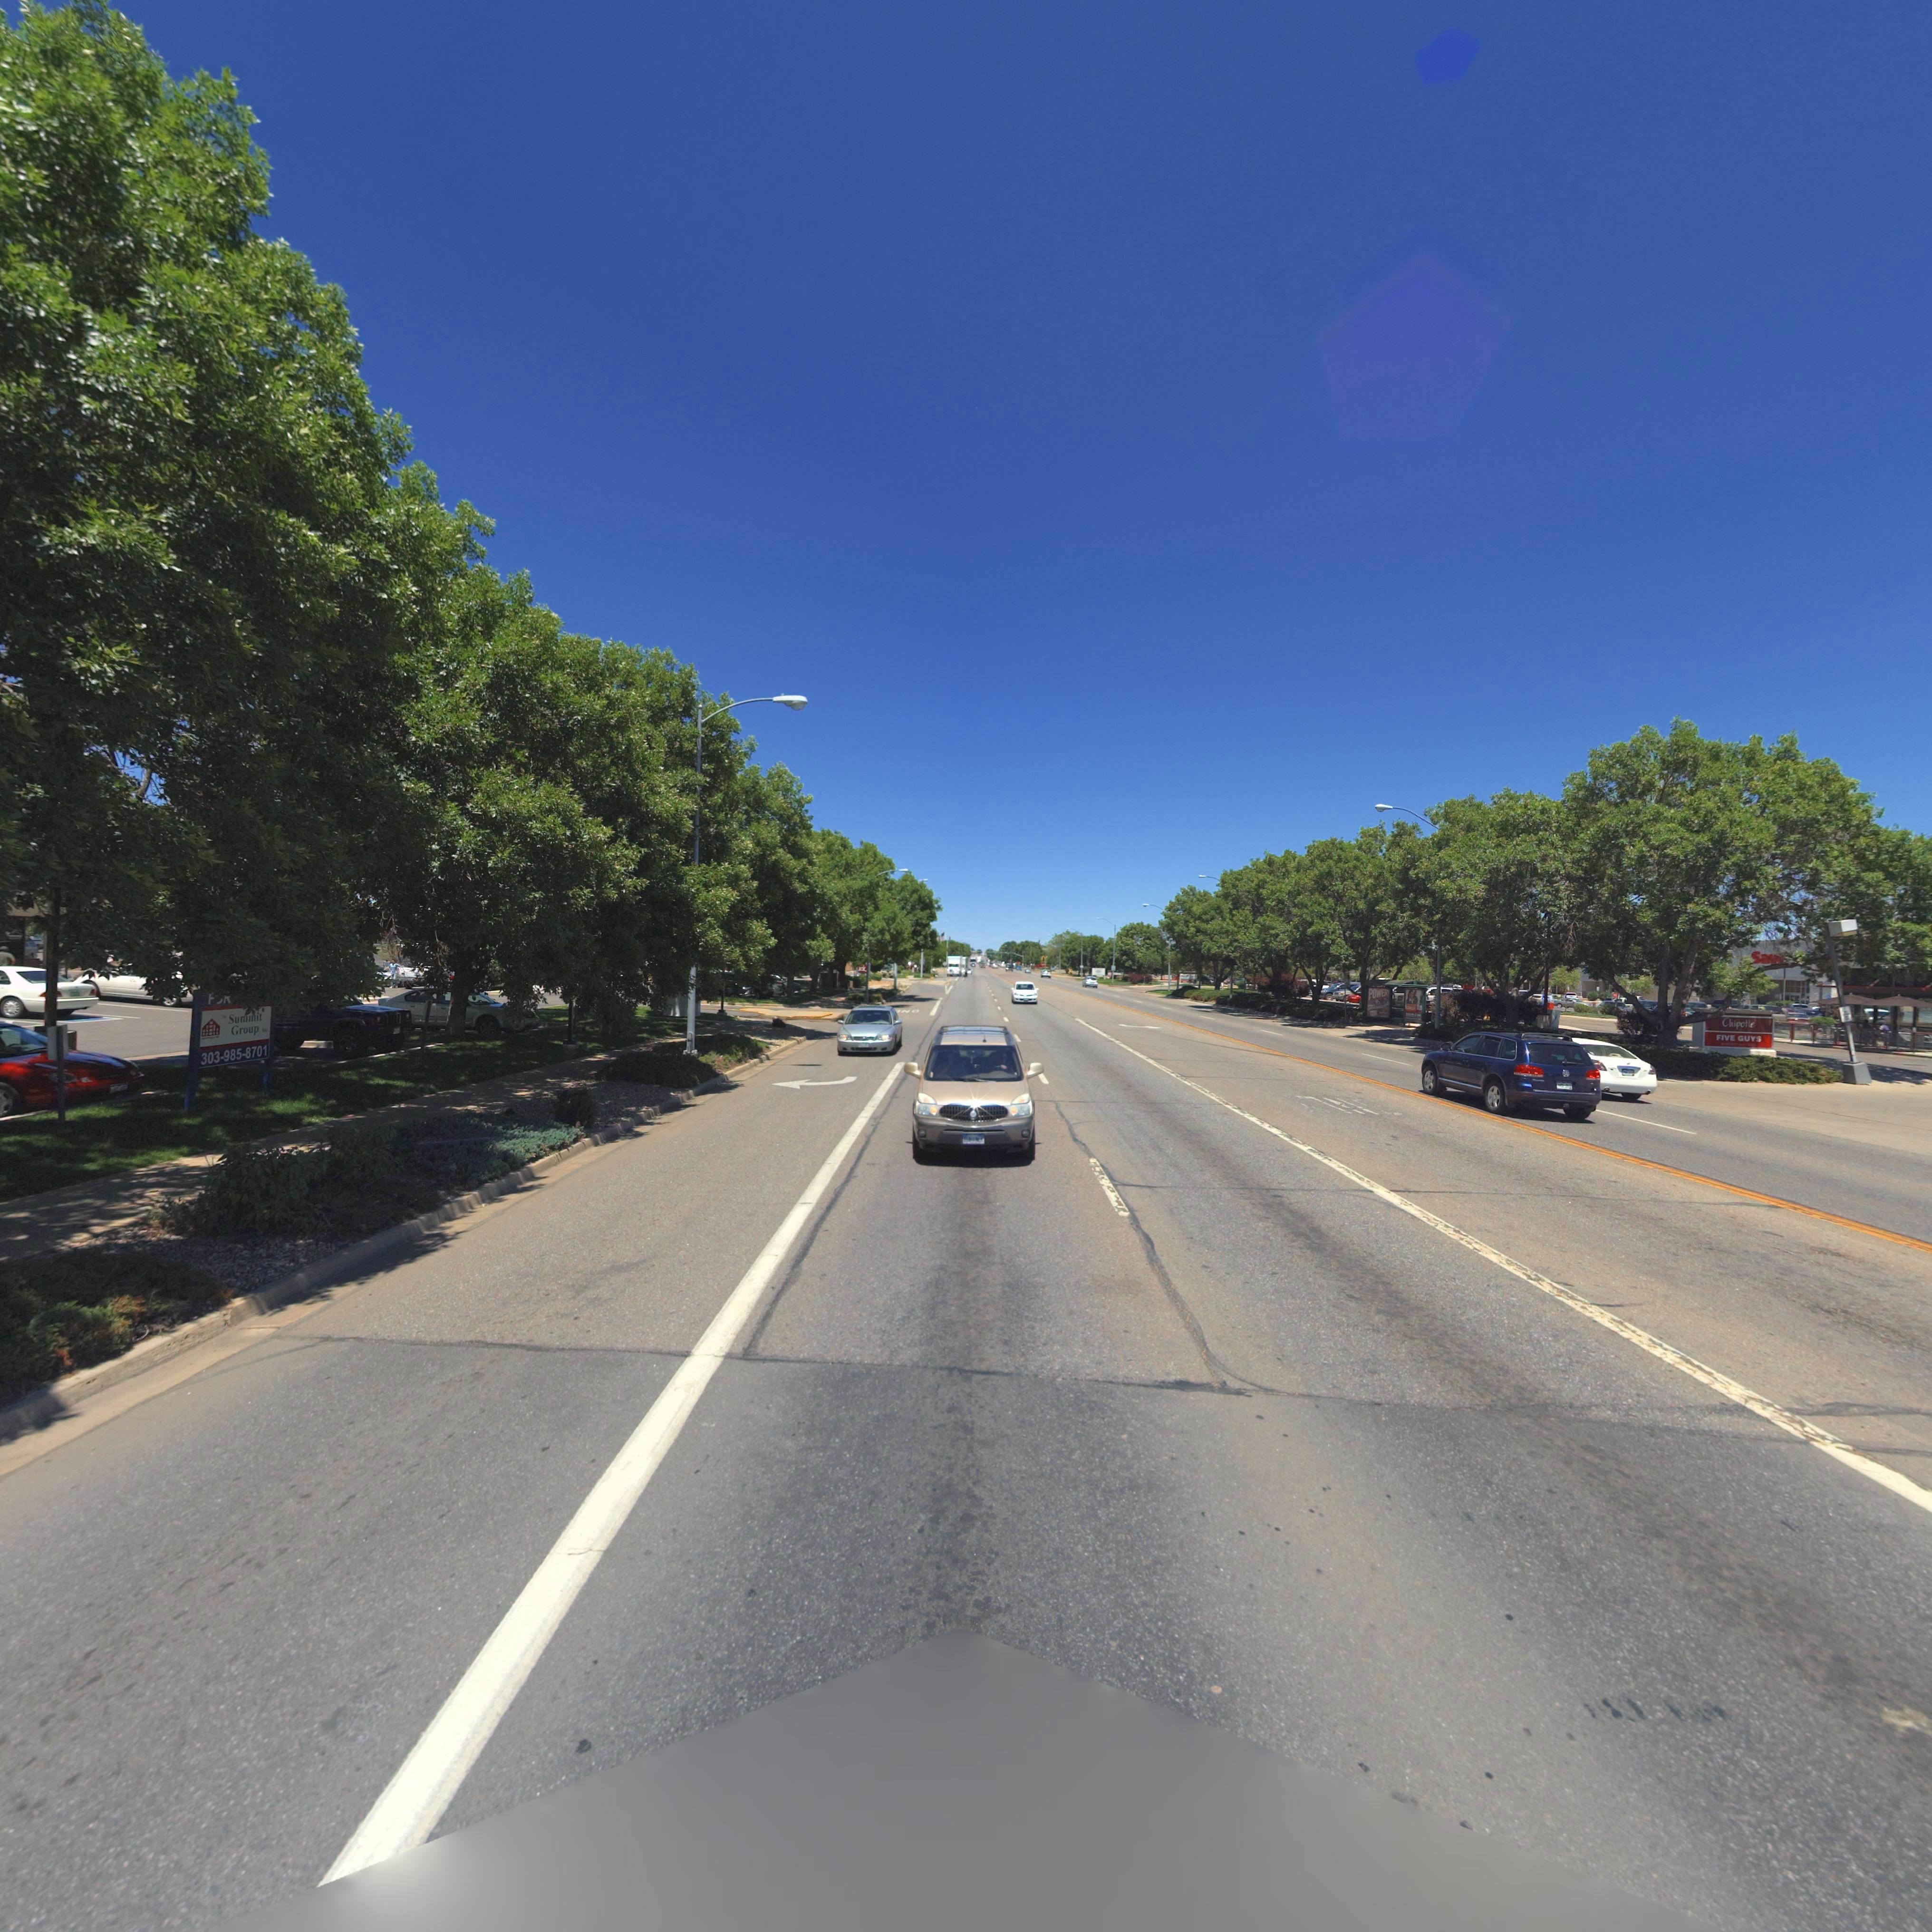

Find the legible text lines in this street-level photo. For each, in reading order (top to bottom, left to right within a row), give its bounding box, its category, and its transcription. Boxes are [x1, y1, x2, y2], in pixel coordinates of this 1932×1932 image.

[1750, 951, 1784, 965] BusinessName: Save
[857, 964, 868, 972] BusinessName: *ack
[1721, 1017, 1755, 1030] BusinessName: Chipotle
[1716, 1034, 1761, 1042] BusinessName: FIVE GUYS